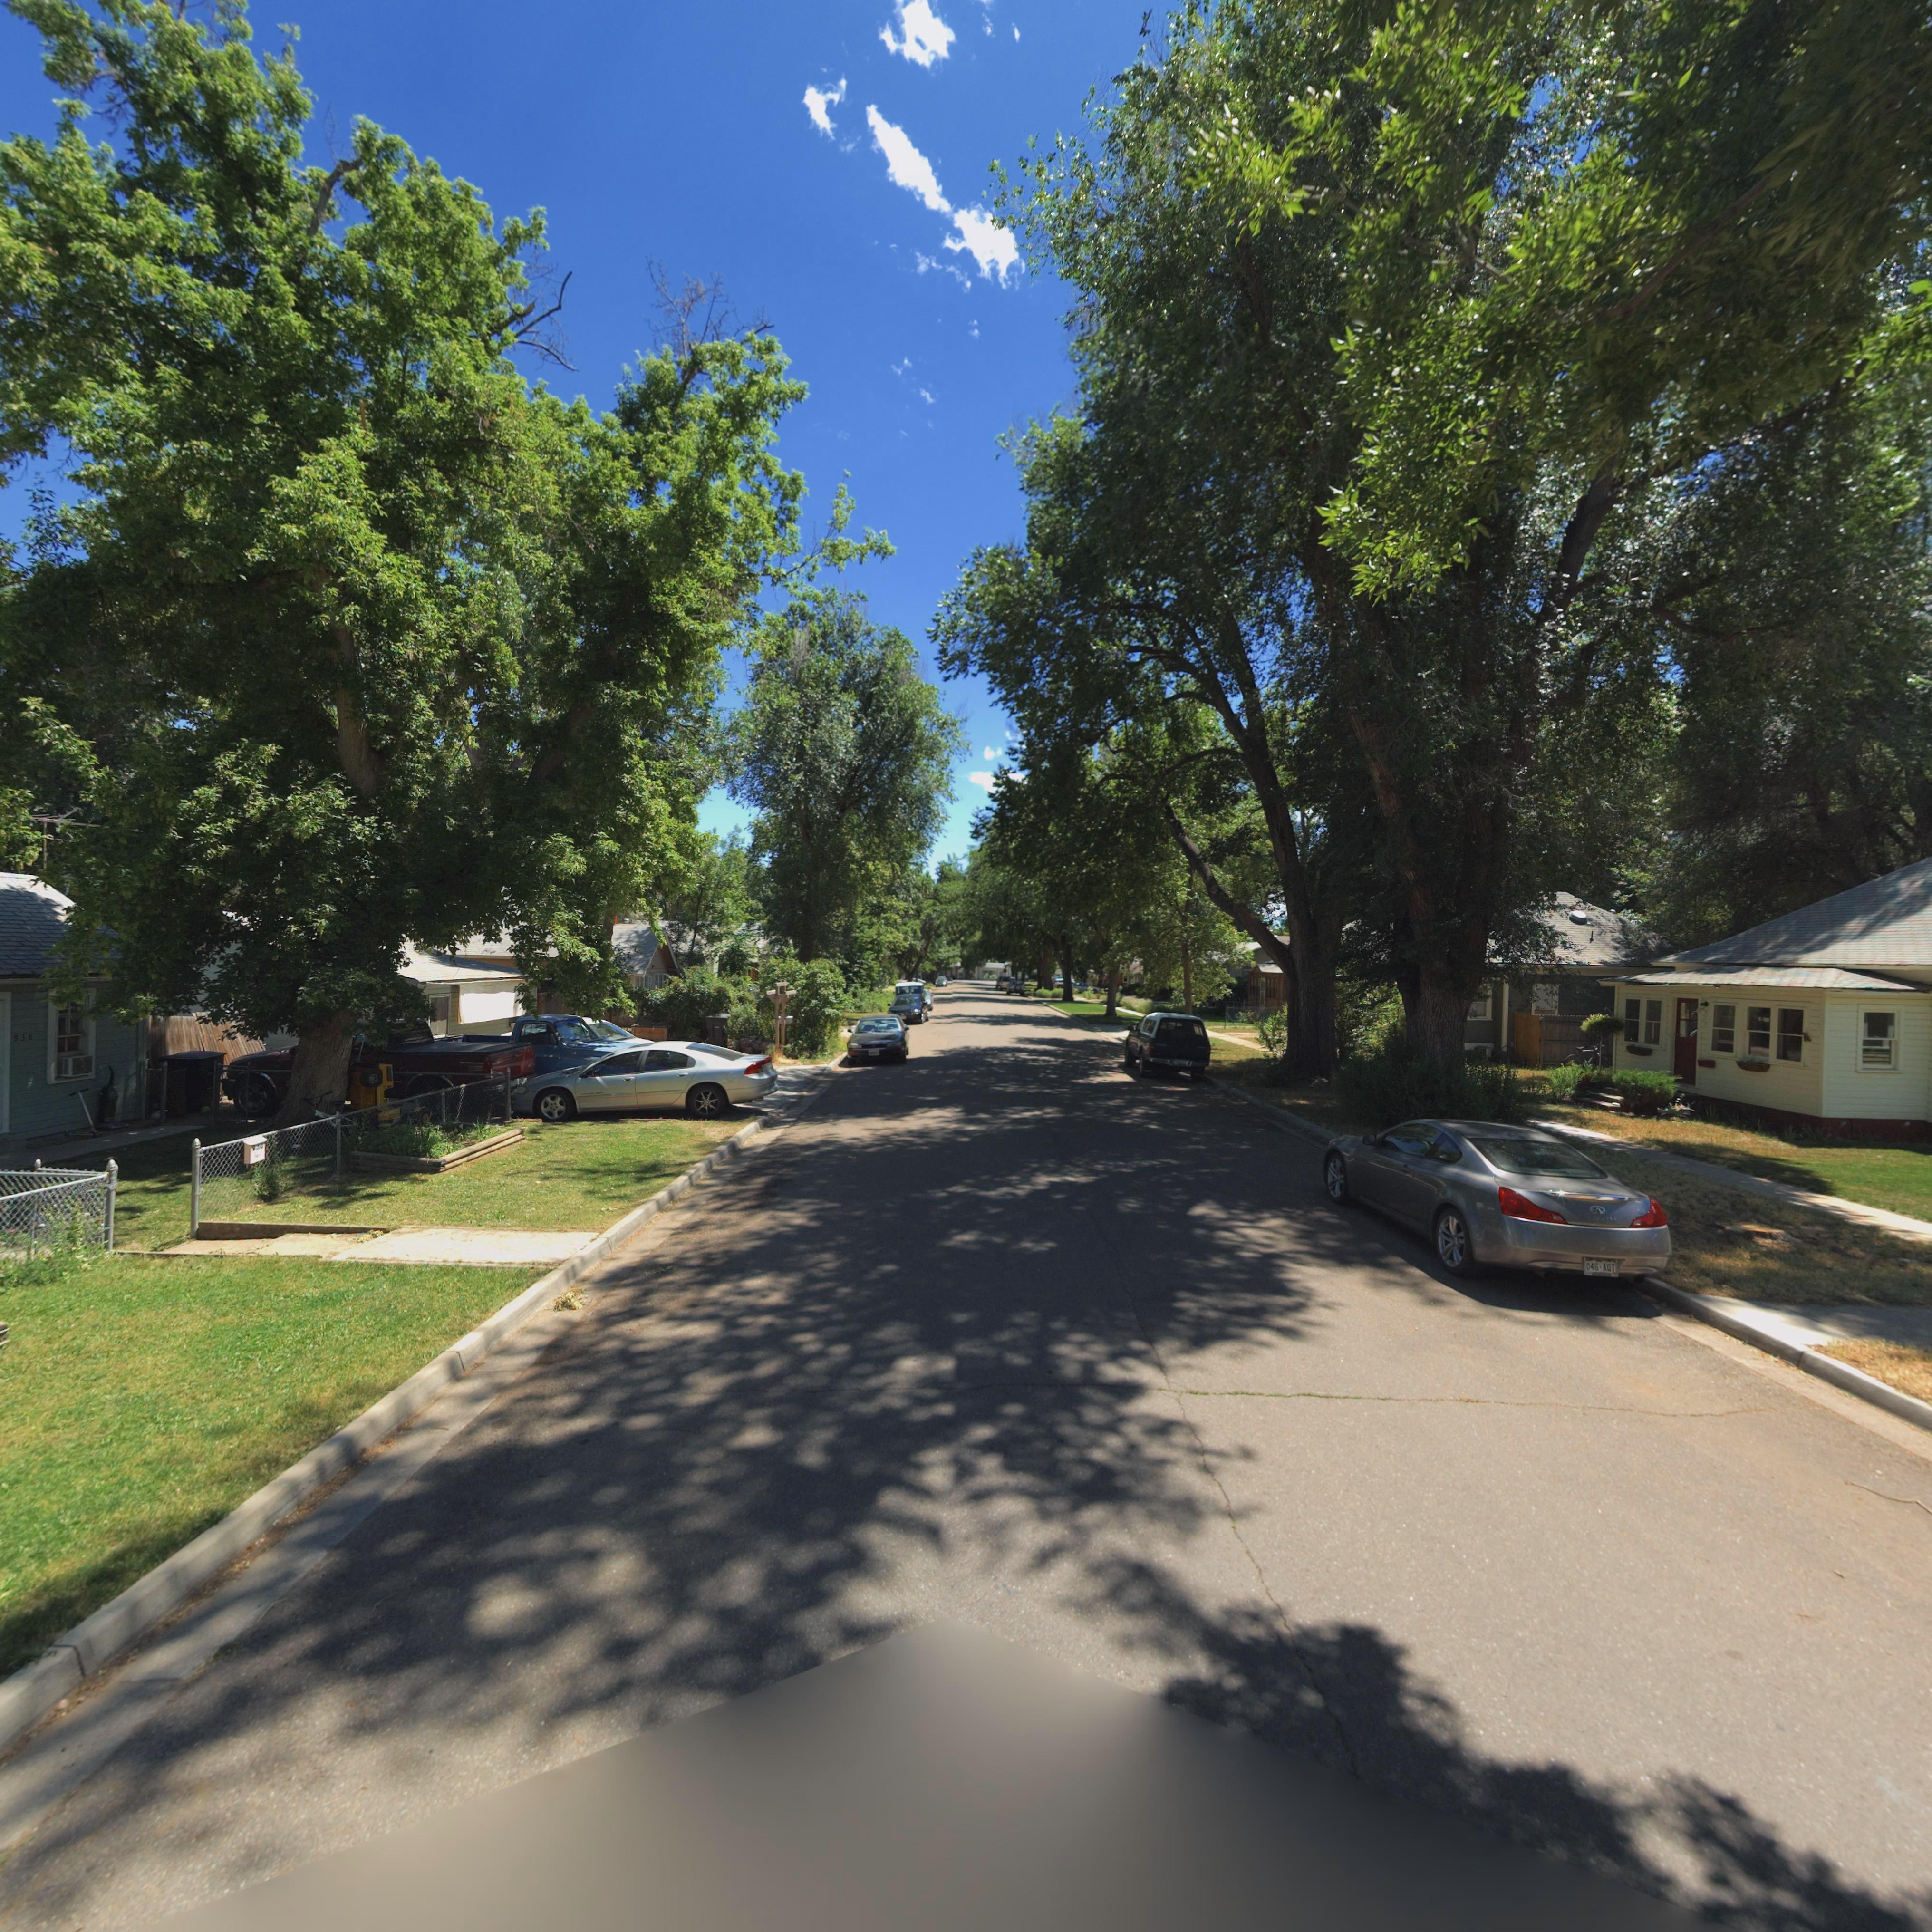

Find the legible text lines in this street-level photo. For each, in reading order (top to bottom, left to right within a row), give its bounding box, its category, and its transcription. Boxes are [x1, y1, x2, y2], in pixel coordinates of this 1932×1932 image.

[12, 1032, 33, 1042] StreetNumber: 938
[251, 1142, 263, 1151] StreetNumber: 938